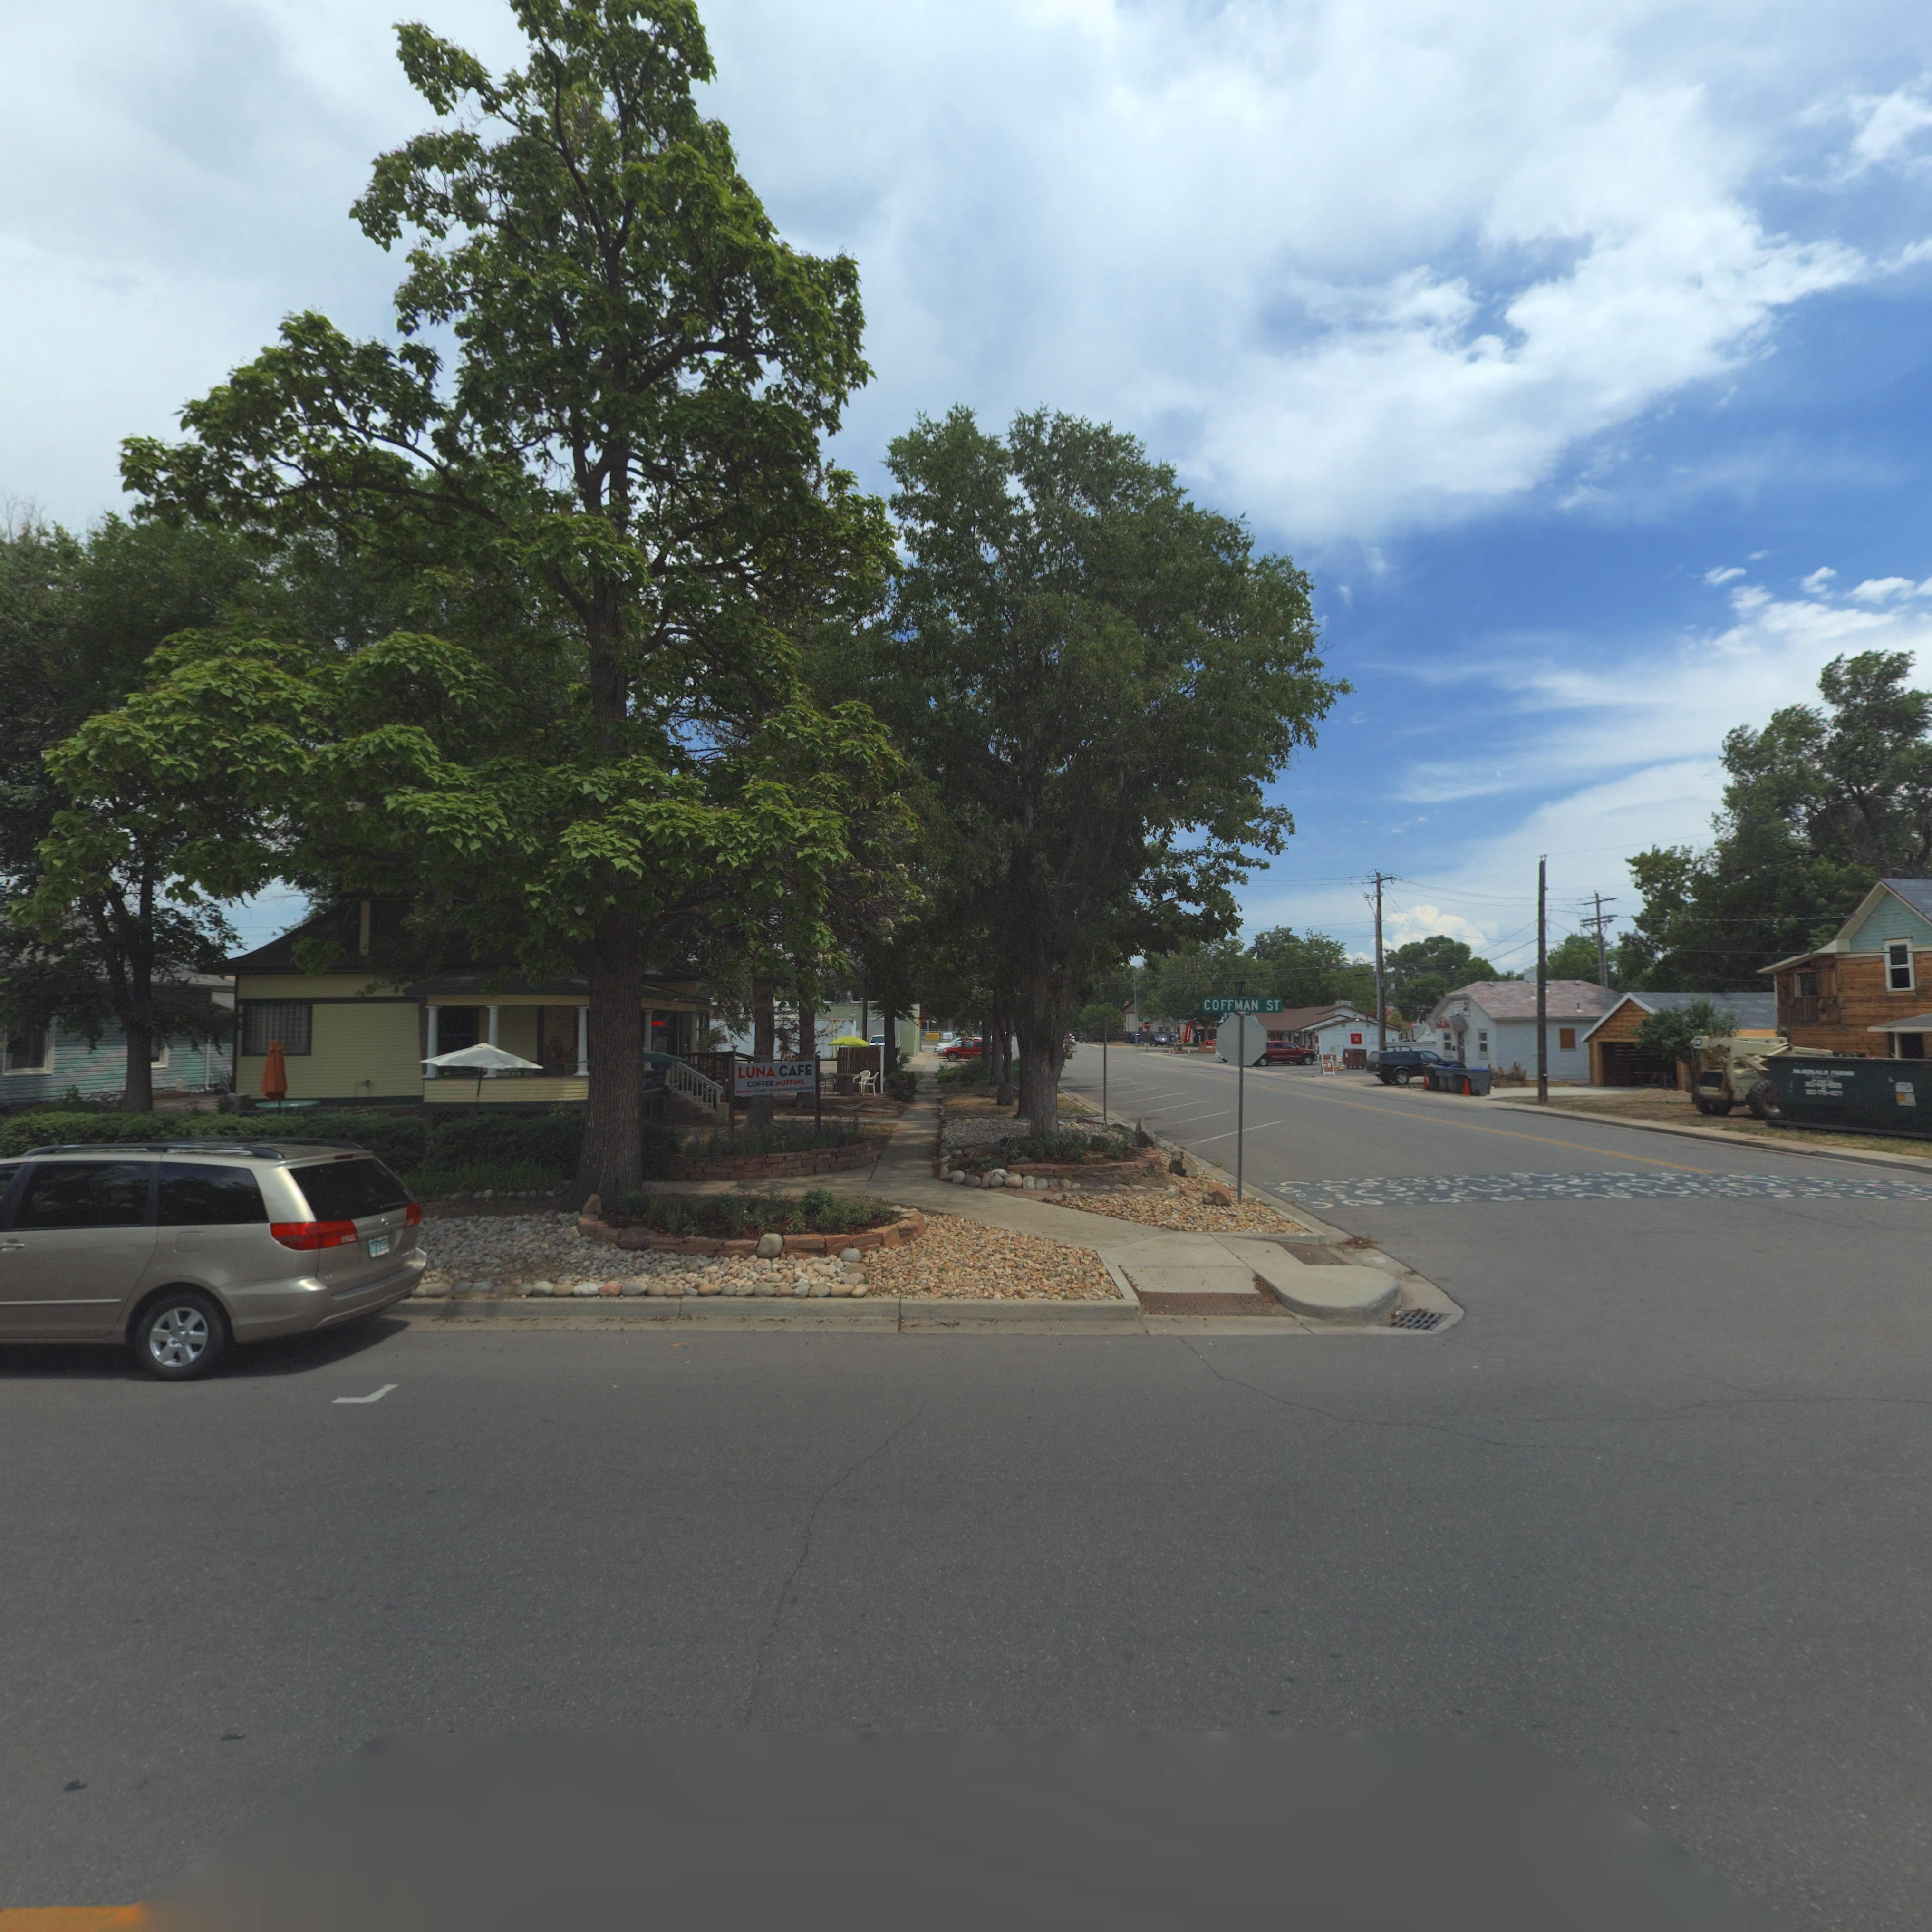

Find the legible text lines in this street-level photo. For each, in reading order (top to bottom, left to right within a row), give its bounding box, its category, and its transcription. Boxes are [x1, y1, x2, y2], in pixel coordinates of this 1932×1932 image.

[1203, 999, 1280, 1011] StreetName: COFFMAN ST
[737, 1064, 812, 1079] BusinessName: LUNA CAFE